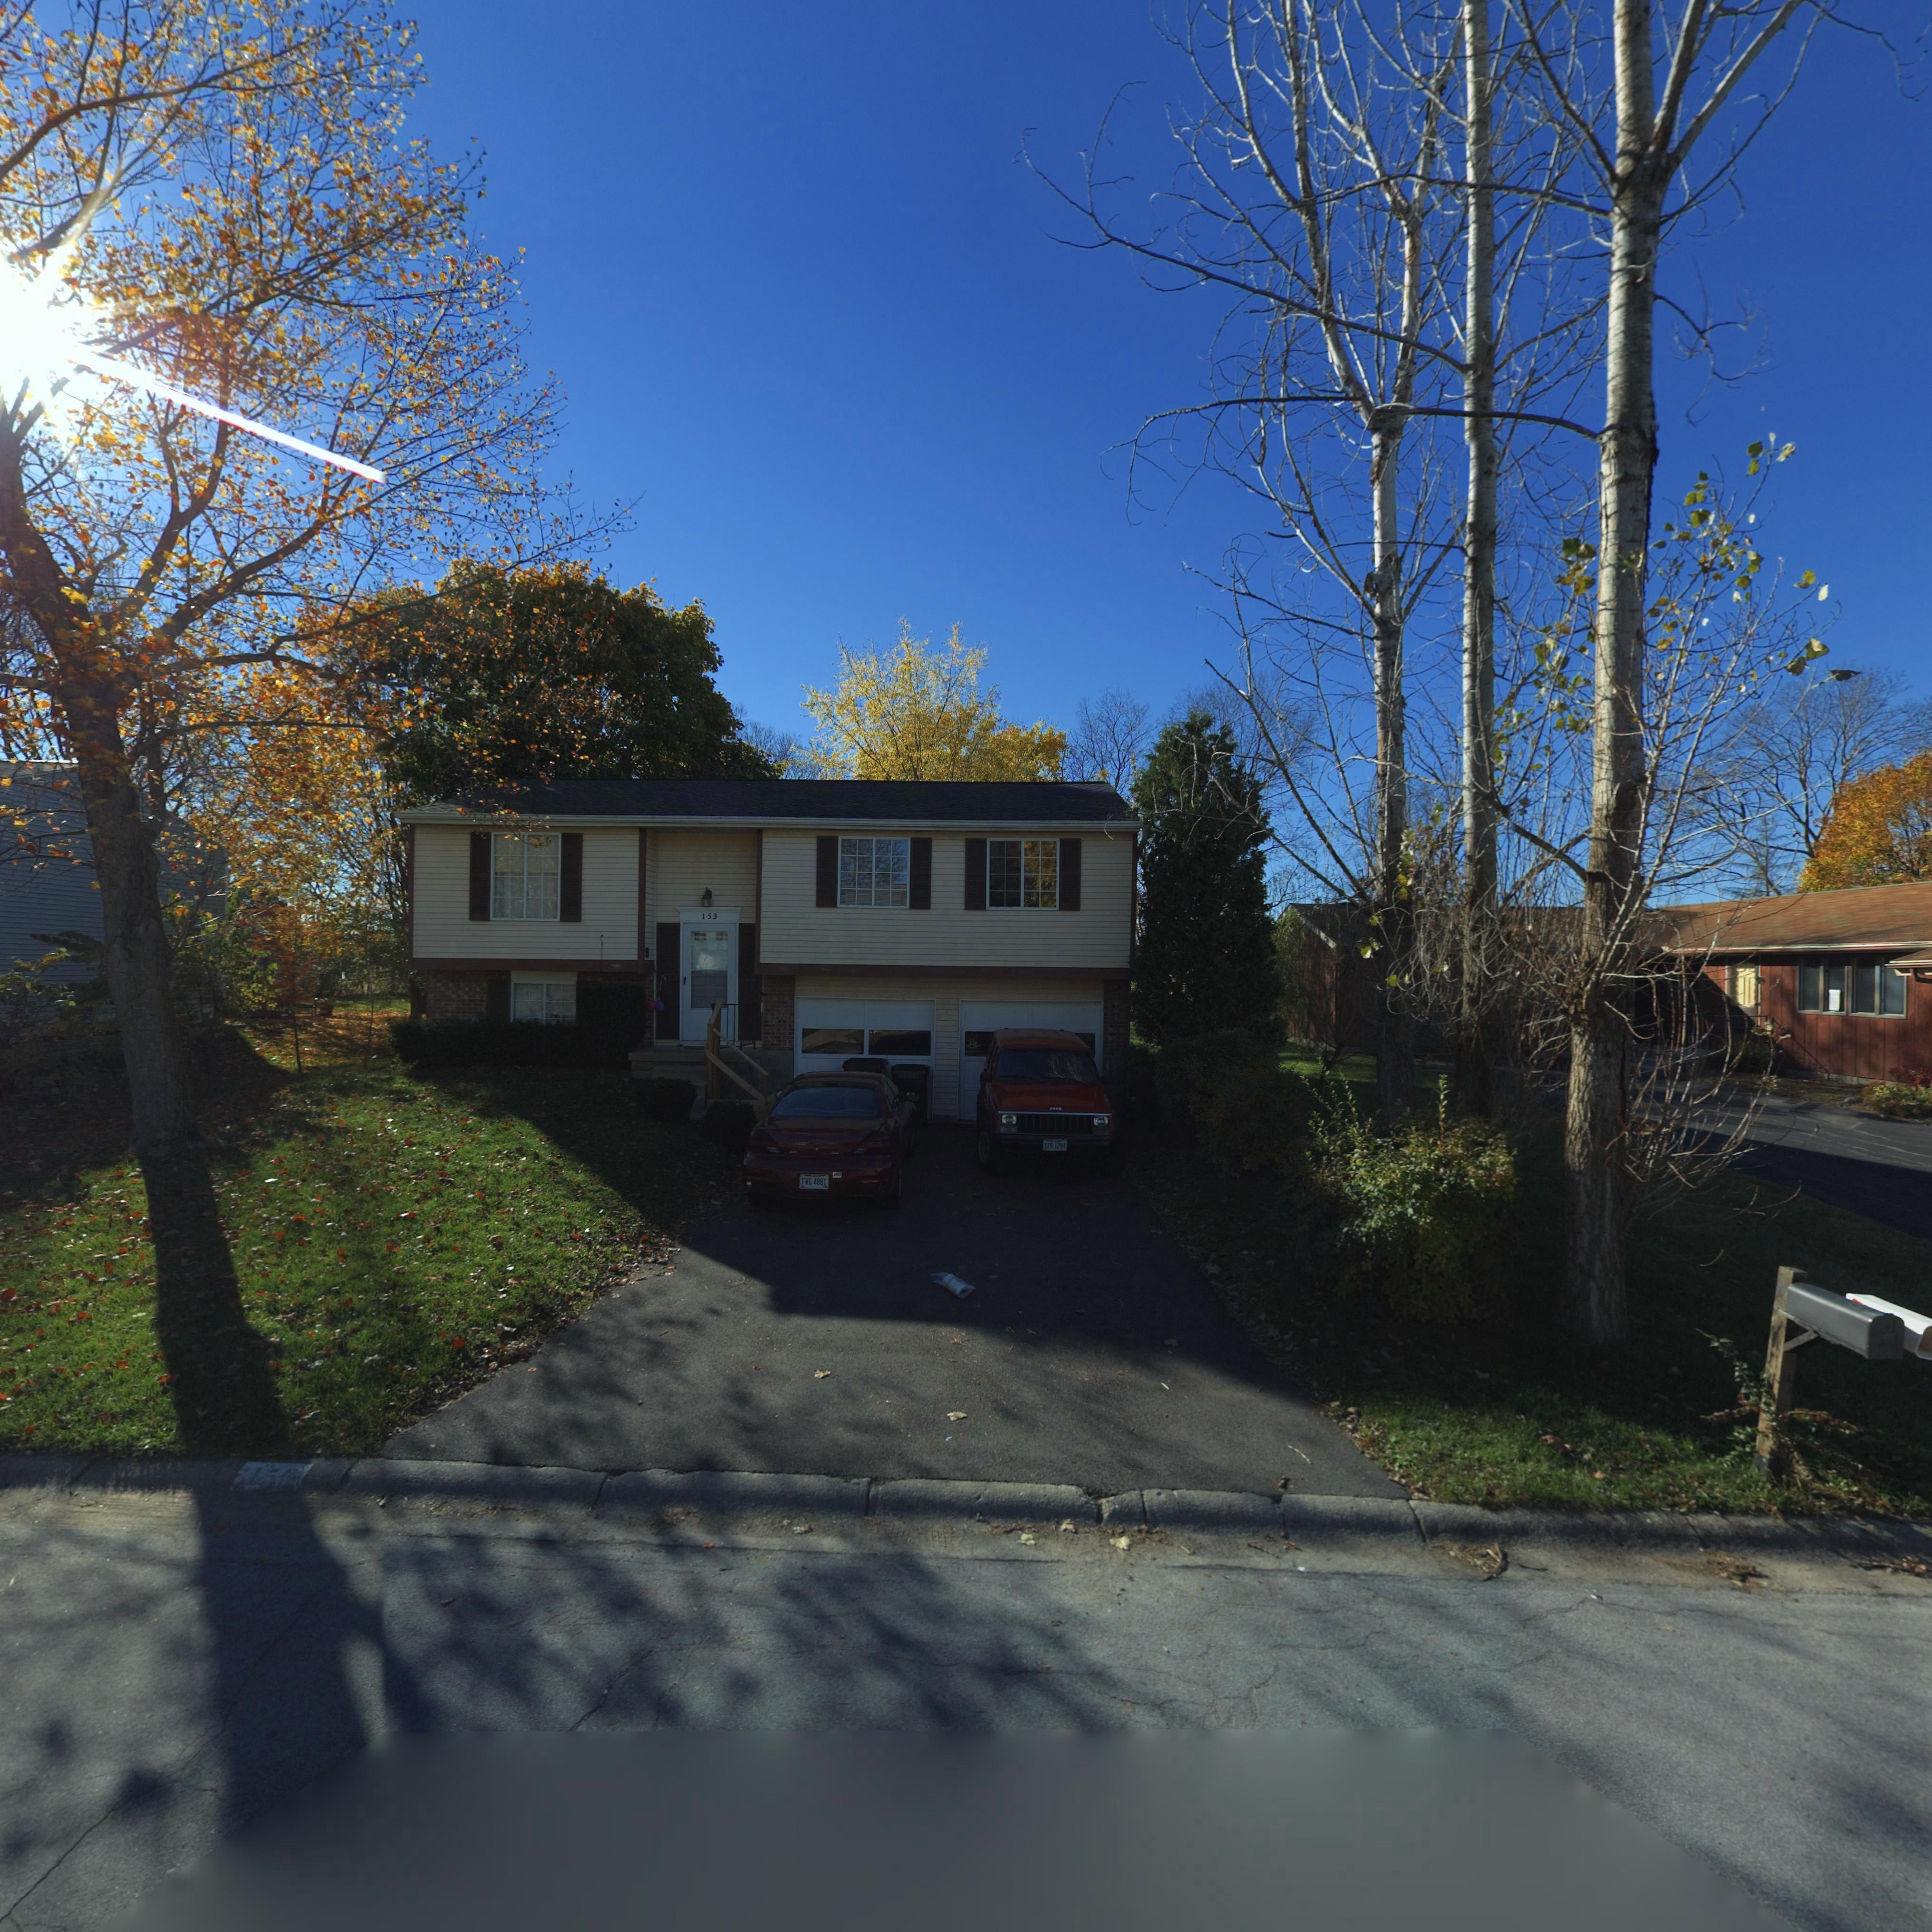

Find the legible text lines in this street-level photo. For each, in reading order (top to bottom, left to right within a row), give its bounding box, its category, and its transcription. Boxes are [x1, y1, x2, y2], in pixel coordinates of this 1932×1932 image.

[701, 912, 718, 920] StreetNumber: 153